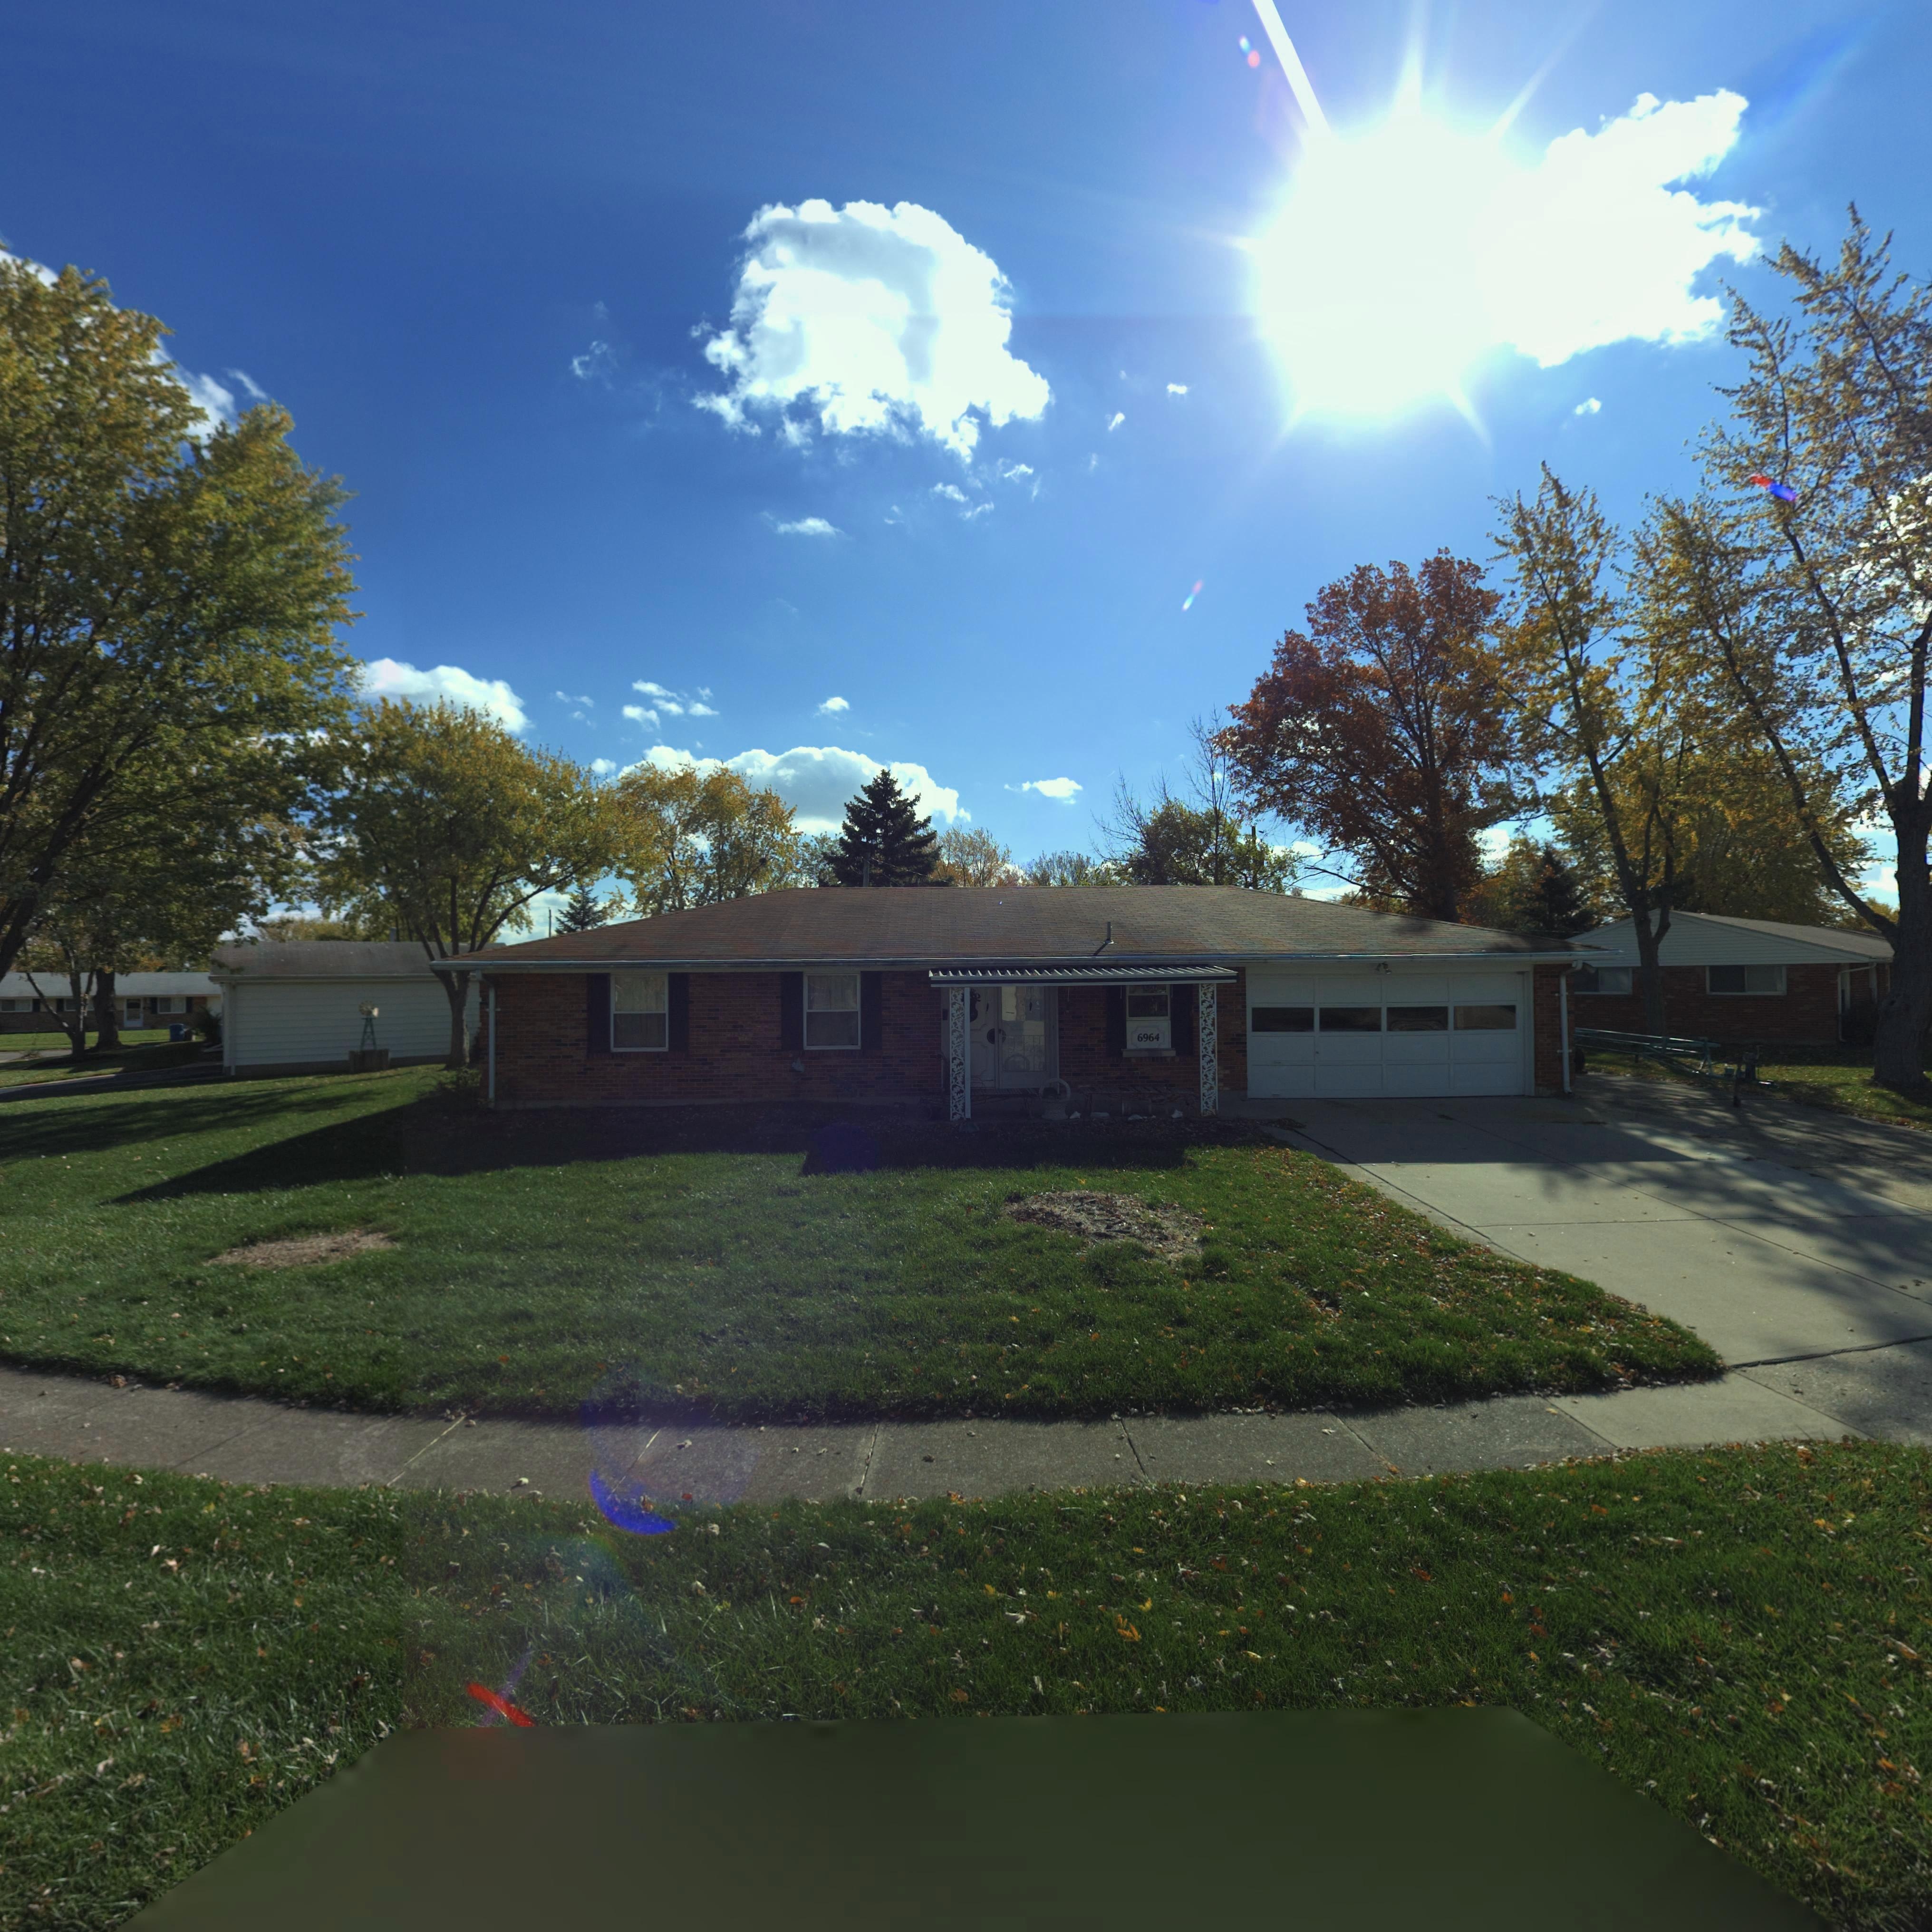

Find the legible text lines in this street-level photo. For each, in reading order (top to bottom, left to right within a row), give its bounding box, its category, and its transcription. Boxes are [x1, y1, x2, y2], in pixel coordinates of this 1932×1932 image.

[1136, 1032, 1161, 1043] StreetNumber: 6964